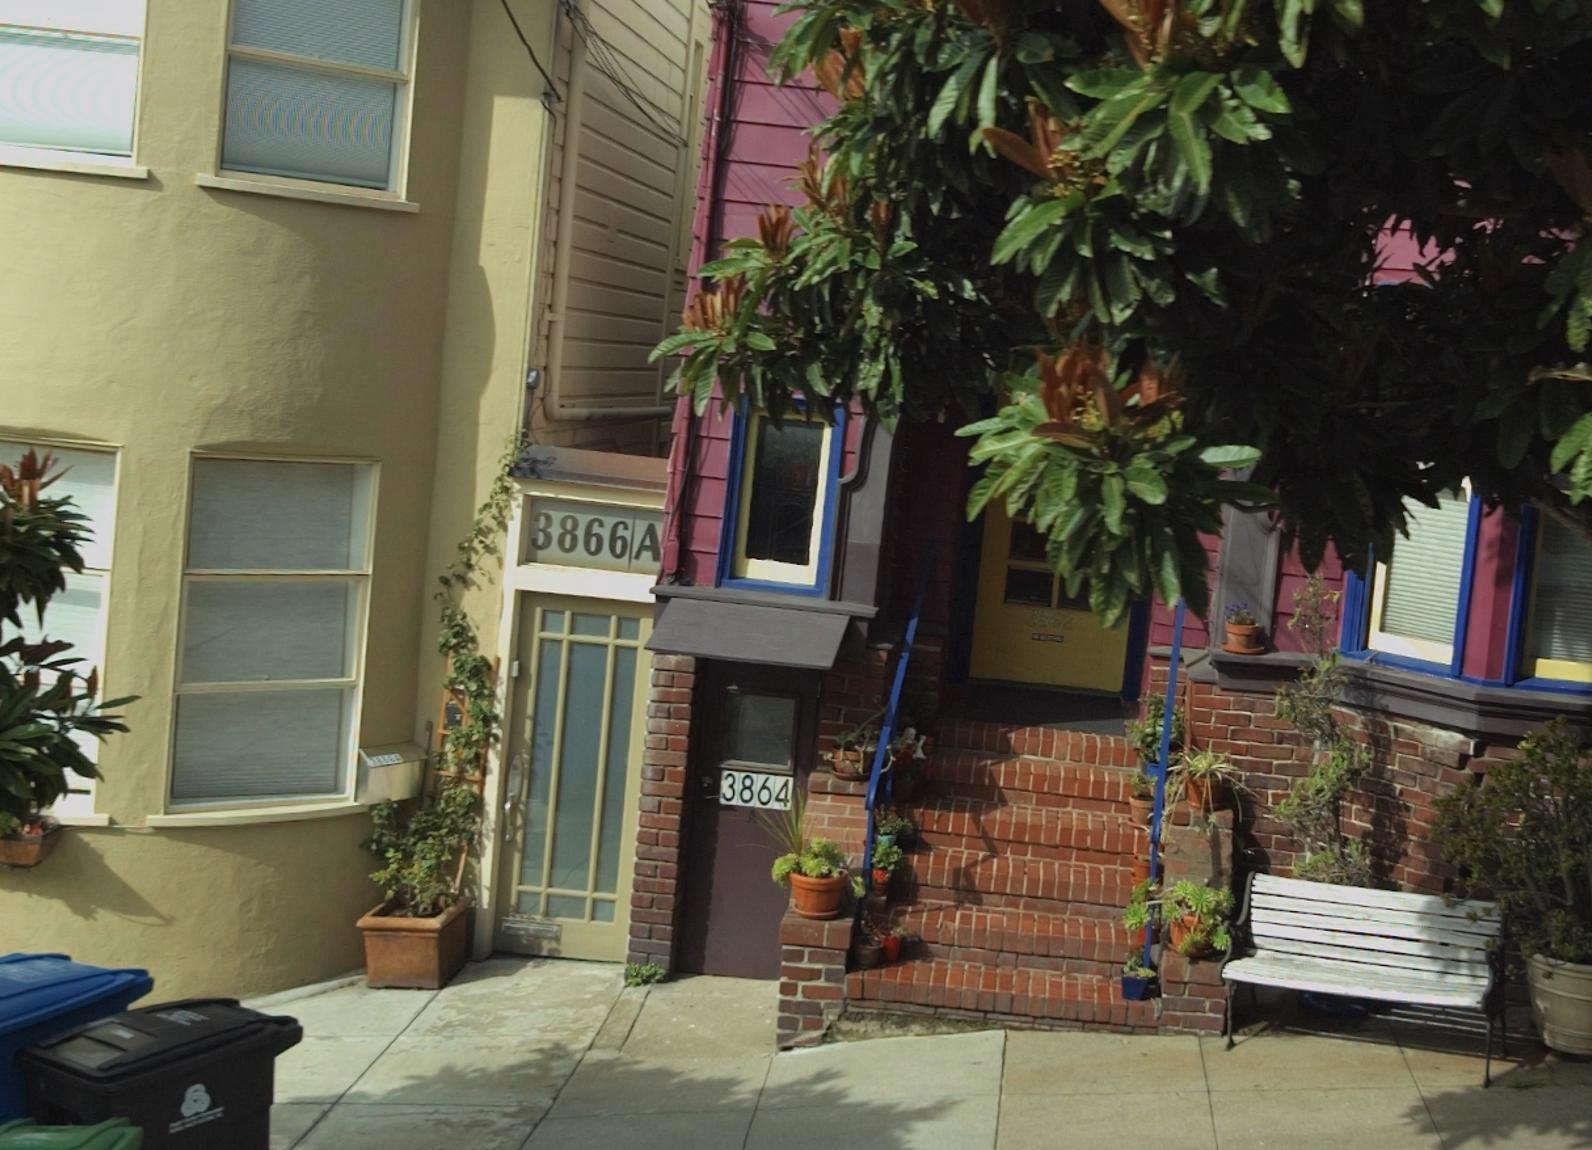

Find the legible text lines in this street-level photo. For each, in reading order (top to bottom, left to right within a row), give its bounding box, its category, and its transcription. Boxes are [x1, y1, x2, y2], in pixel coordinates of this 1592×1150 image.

[529, 510, 665, 566] StreetNumber: 3866A
[1025, 607, 1076, 632] StreetNumber: 3862
[720, 770, 794, 811] StreetNumber: 3864